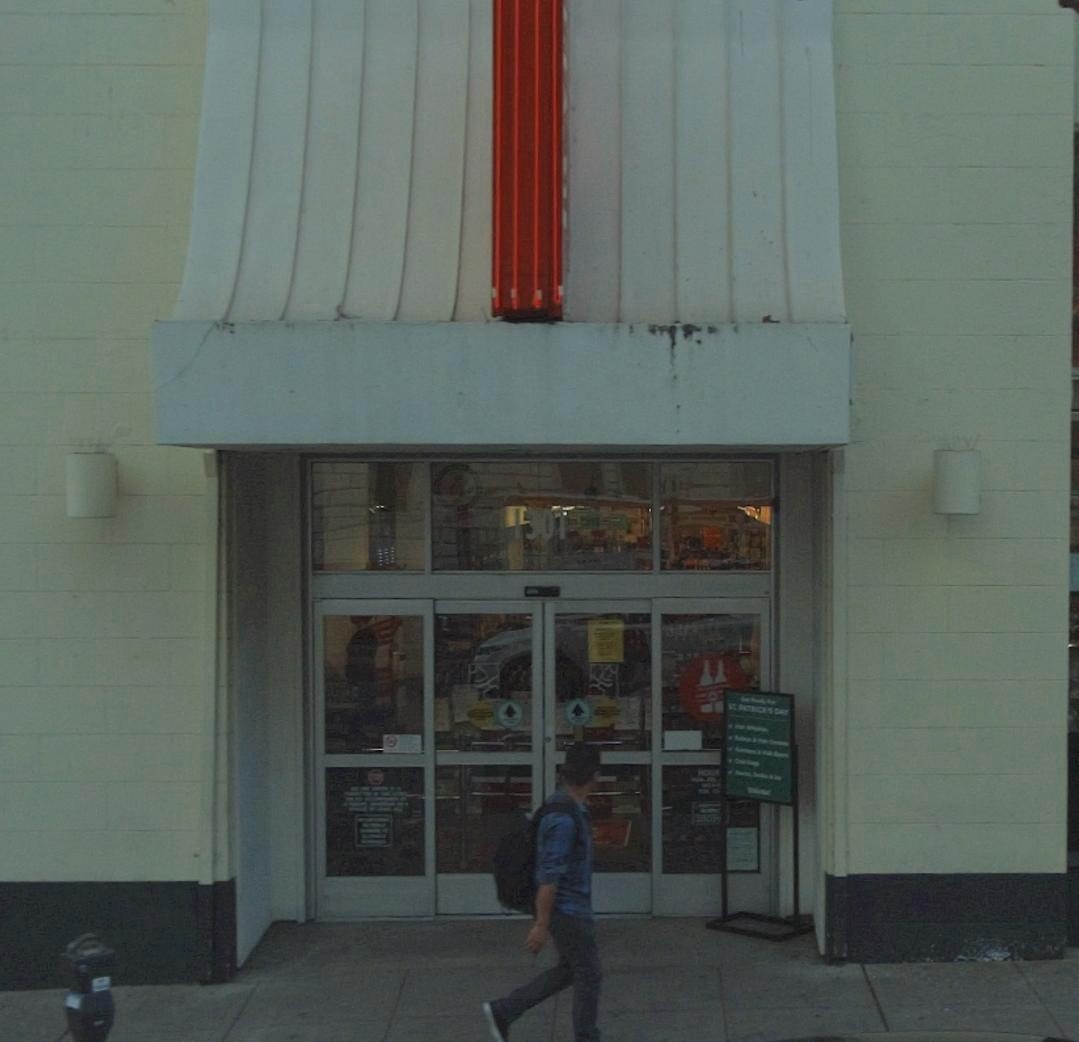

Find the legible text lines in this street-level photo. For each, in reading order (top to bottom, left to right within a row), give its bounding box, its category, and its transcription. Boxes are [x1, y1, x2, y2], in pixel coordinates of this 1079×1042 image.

[511, 506, 568, 543] StreetNumber: 1301